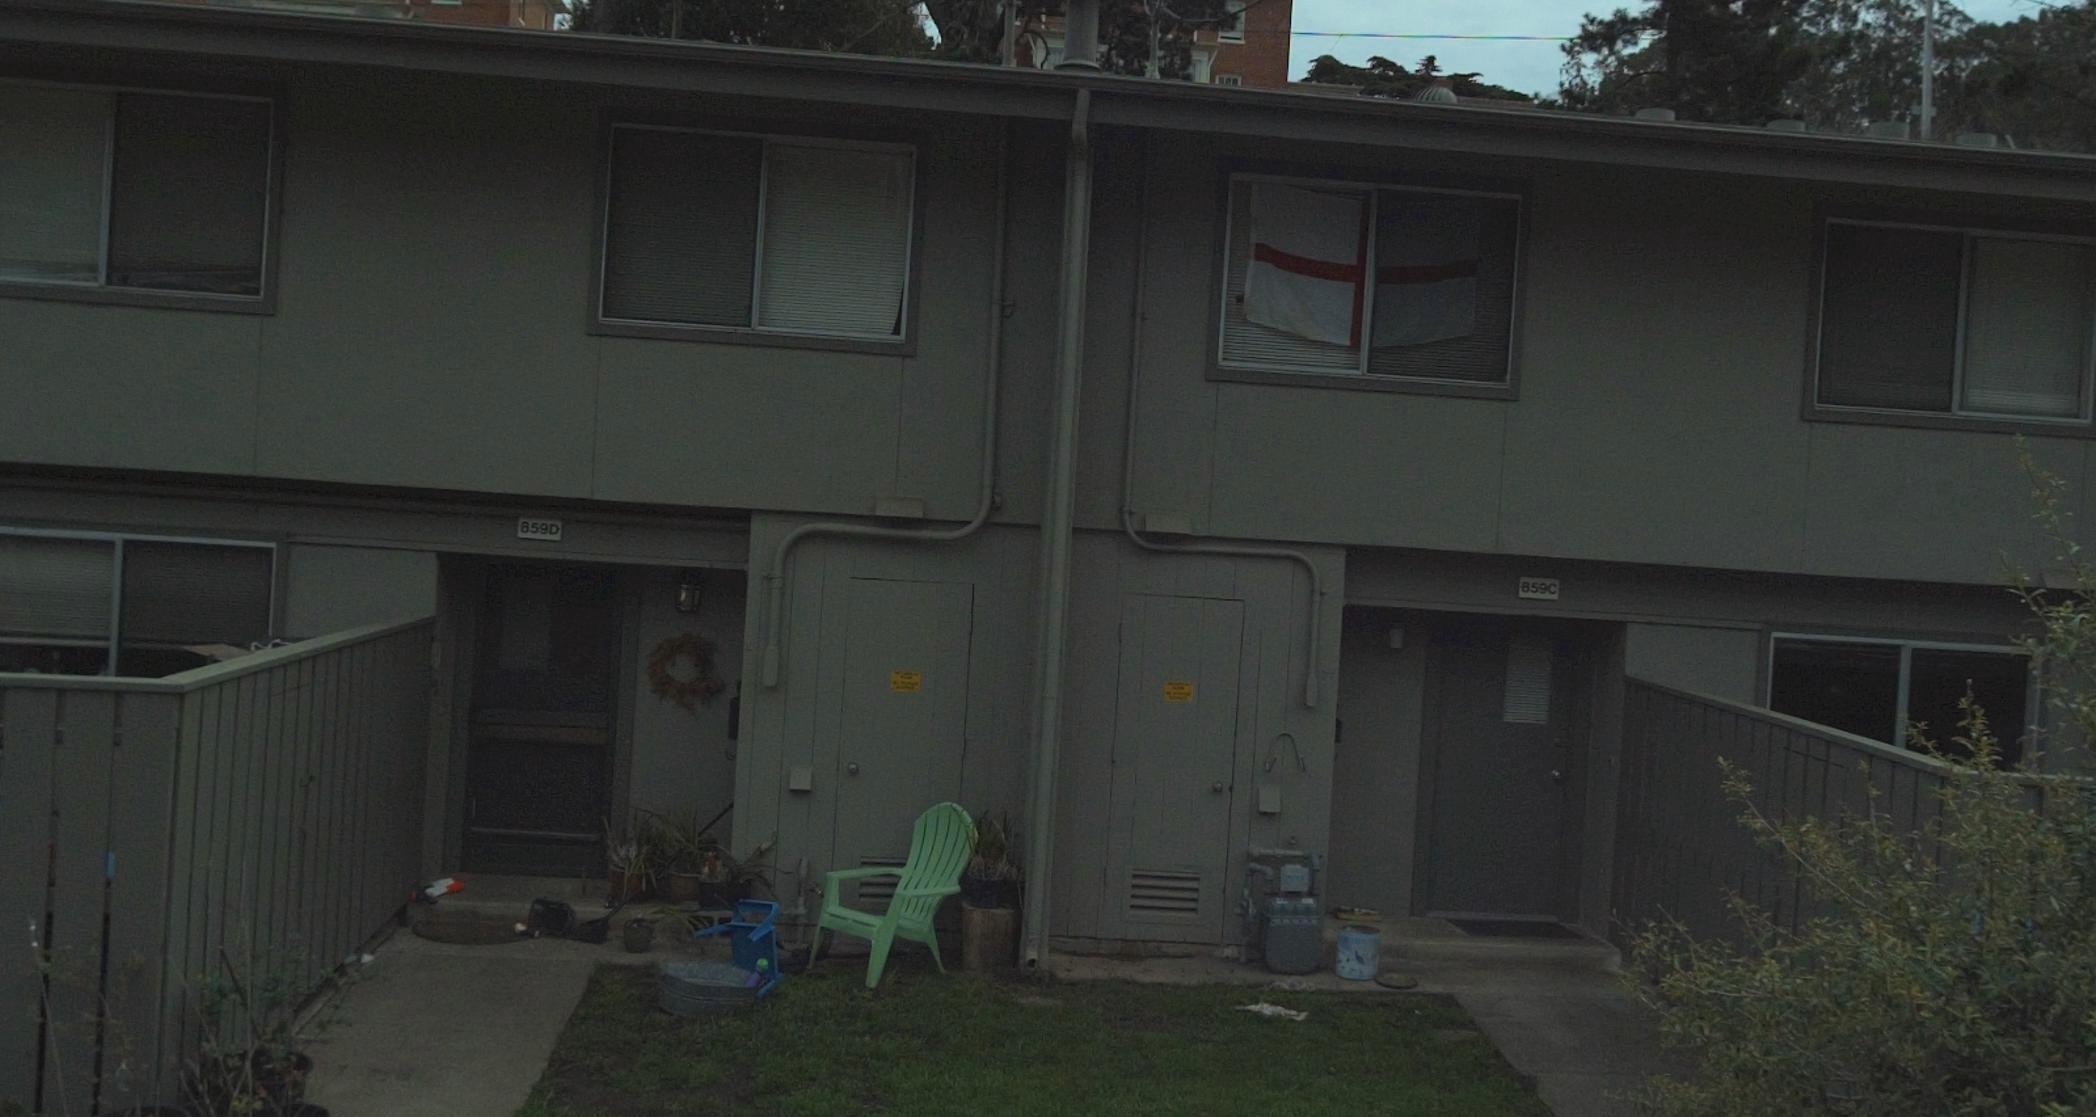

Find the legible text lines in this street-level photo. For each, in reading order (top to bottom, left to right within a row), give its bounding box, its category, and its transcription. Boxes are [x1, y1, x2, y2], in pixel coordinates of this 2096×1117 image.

[520, 521, 561, 537] StreetNumber: 859D
[1521, 580, 1558, 596] StreetNumber: 859C